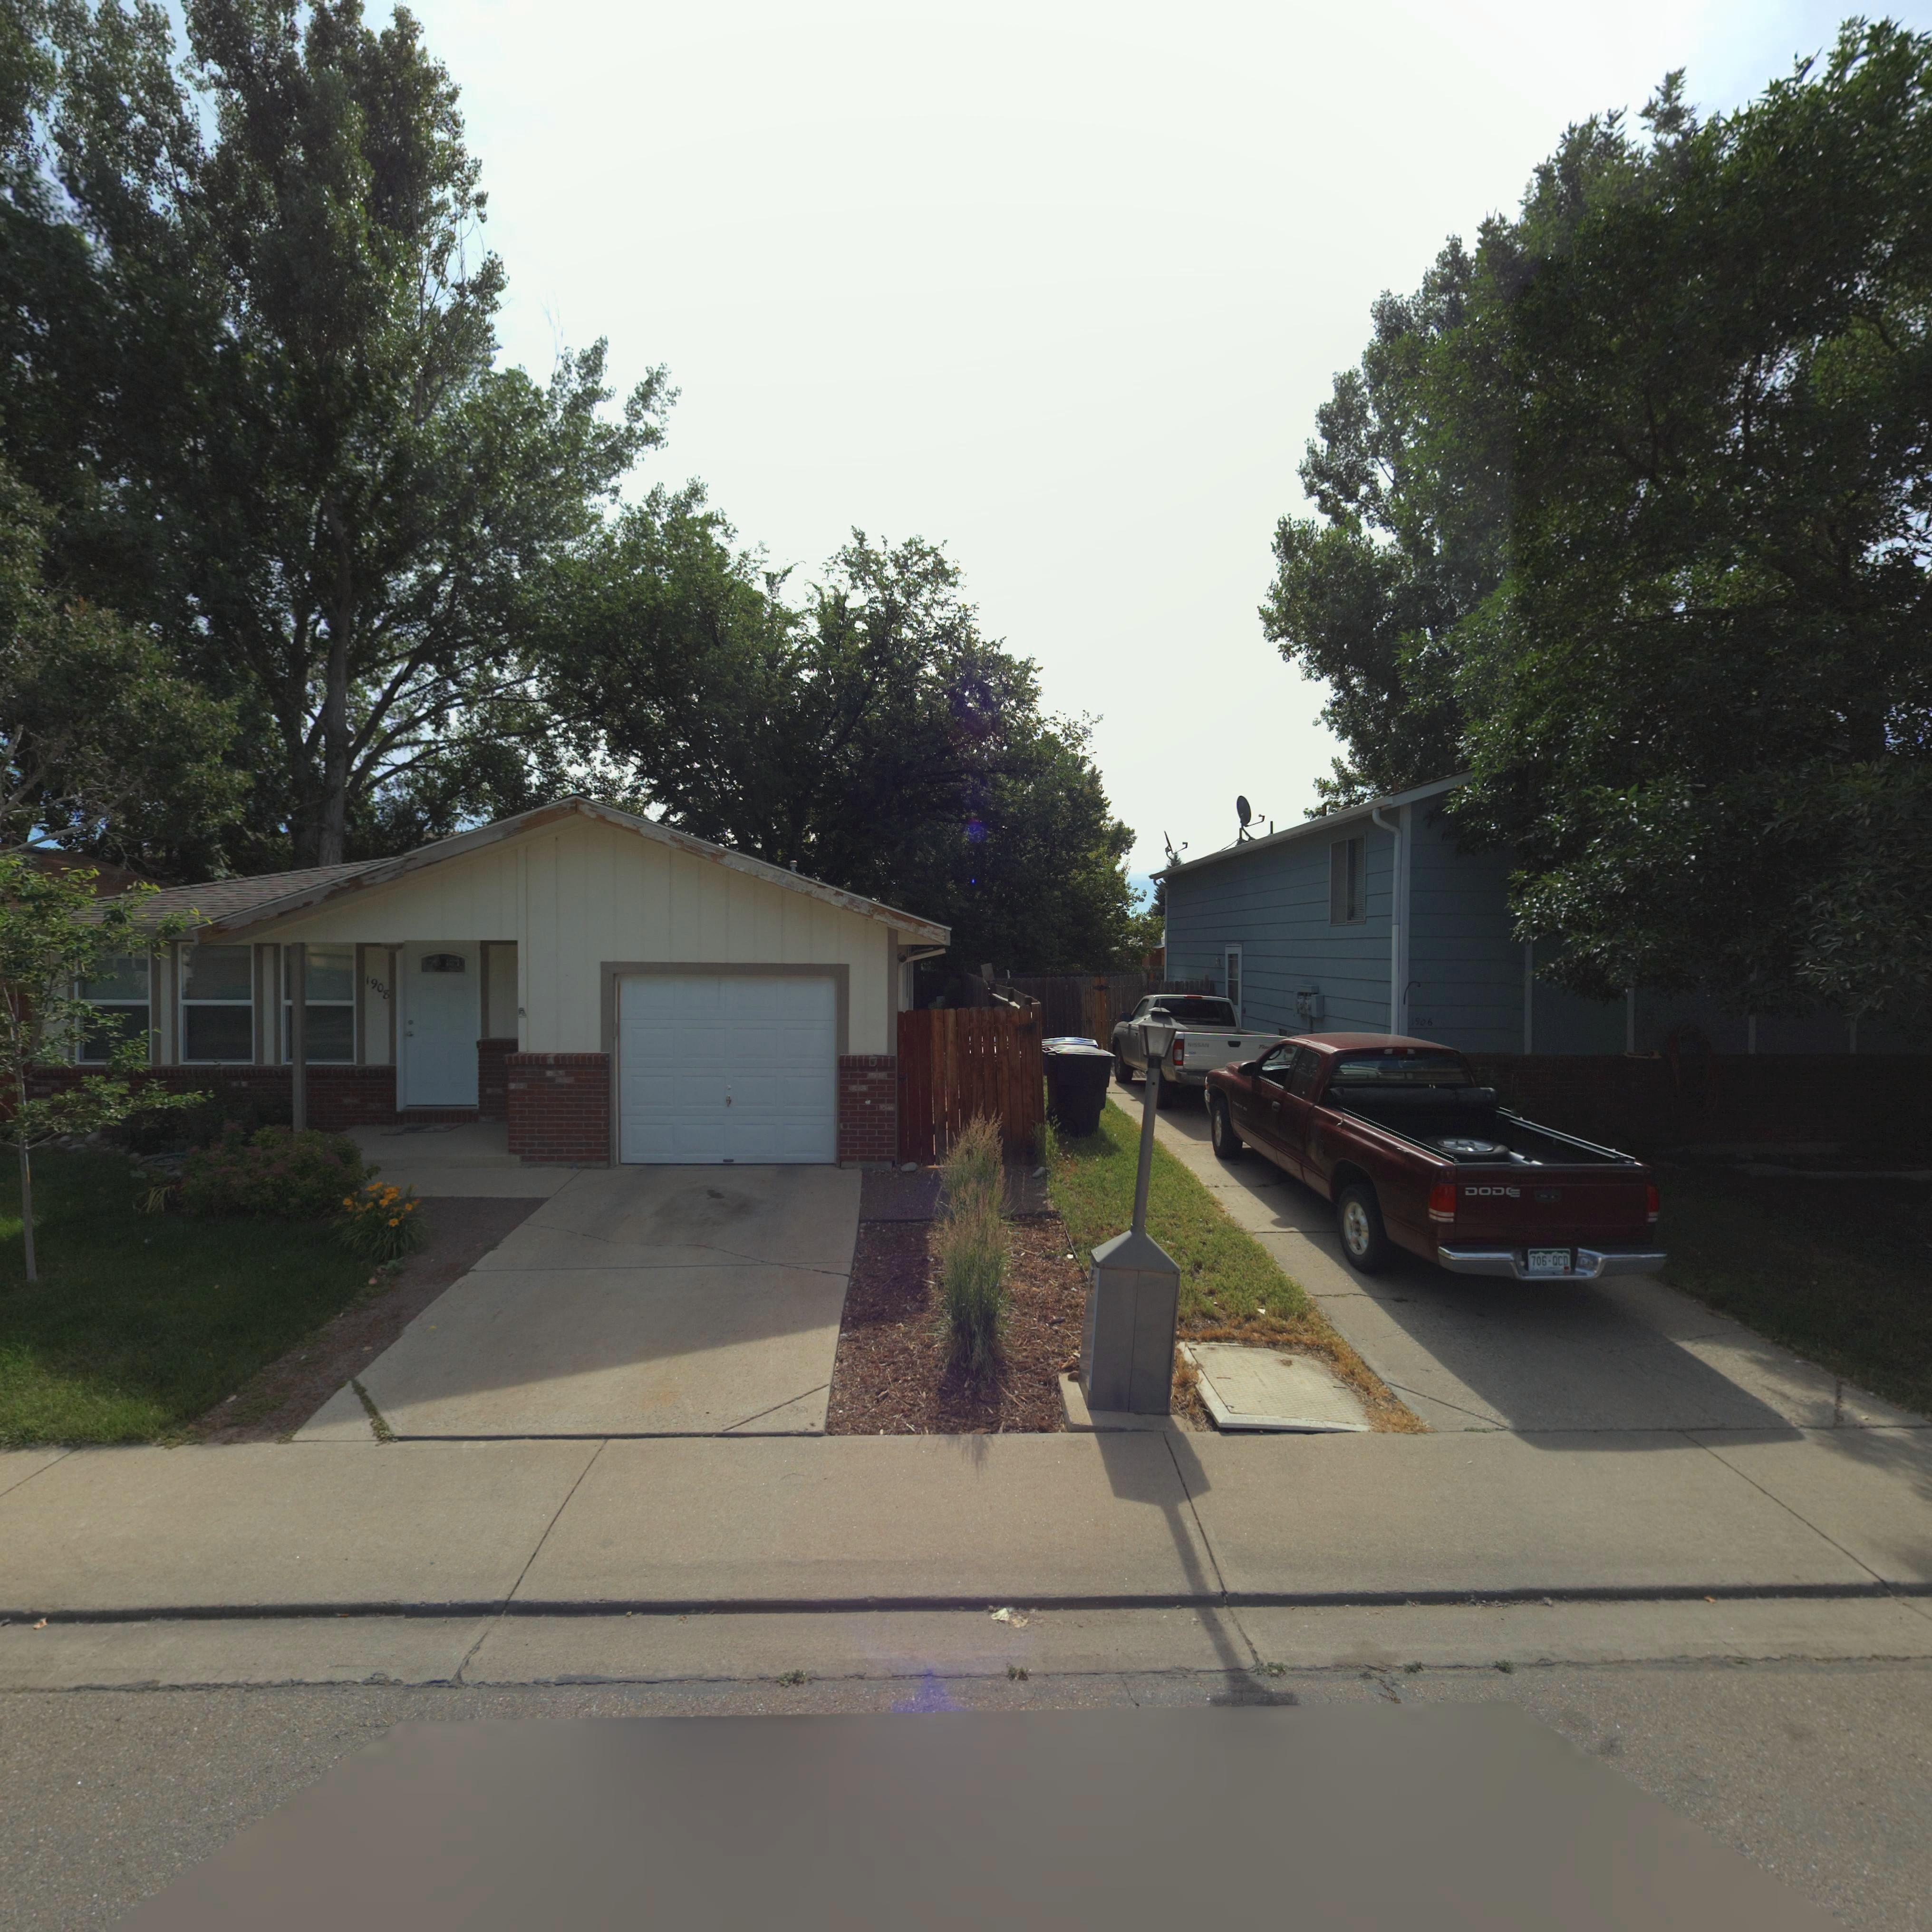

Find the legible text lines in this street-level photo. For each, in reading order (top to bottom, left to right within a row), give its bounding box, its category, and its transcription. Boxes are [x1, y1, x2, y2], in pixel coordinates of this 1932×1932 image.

[365, 974, 391, 1000] StreetNumber: 1908
[1410, 1016, 1433, 1026] StreetNumber: 1906